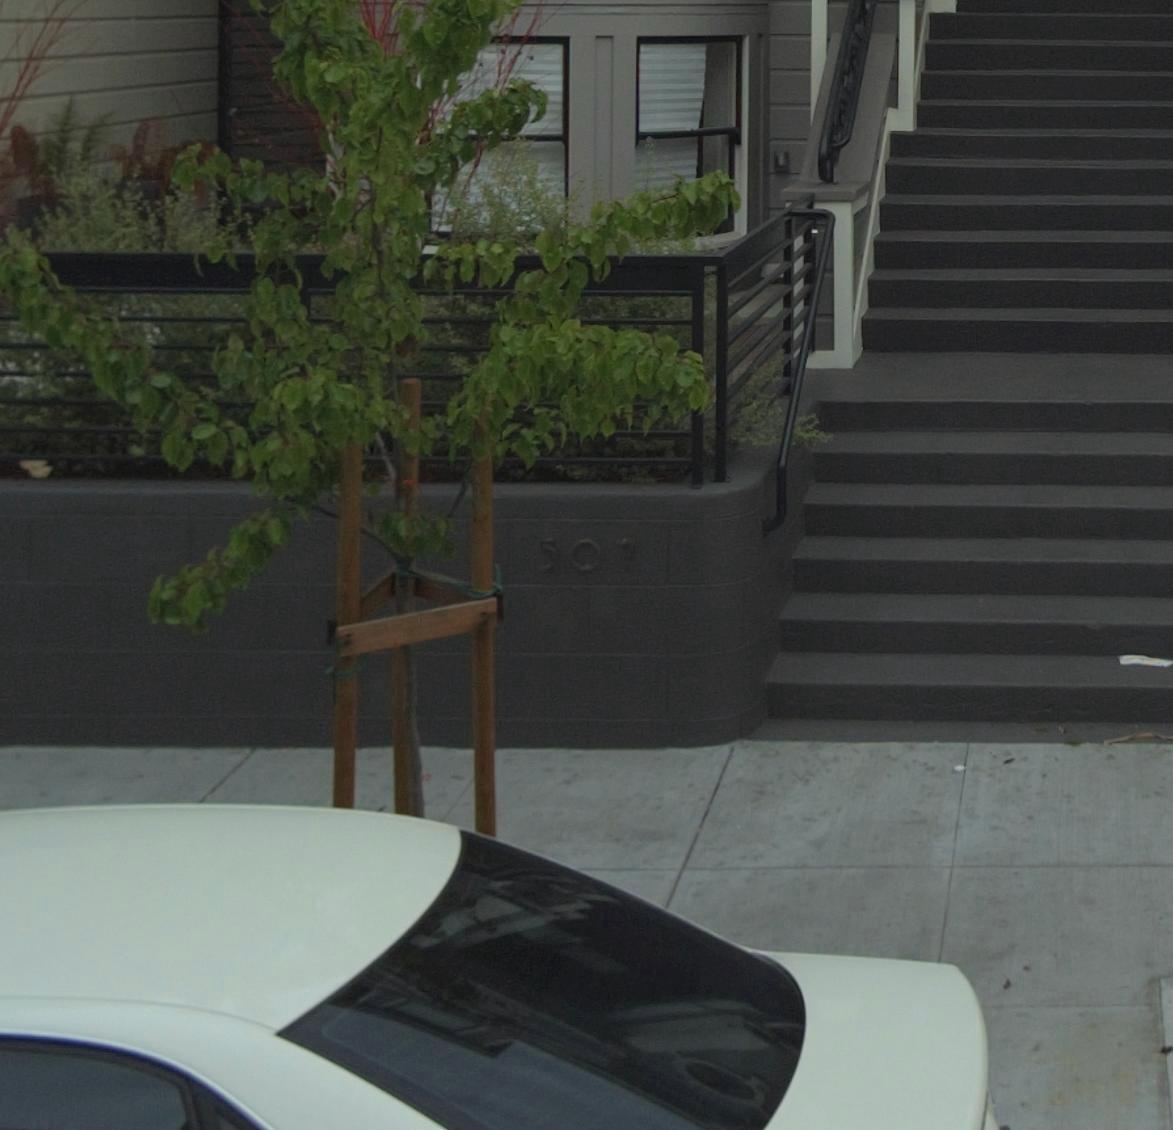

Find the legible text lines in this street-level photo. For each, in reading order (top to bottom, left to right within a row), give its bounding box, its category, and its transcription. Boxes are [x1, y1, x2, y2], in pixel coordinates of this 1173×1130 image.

[535, 535, 637, 575] StreetNumber: 507